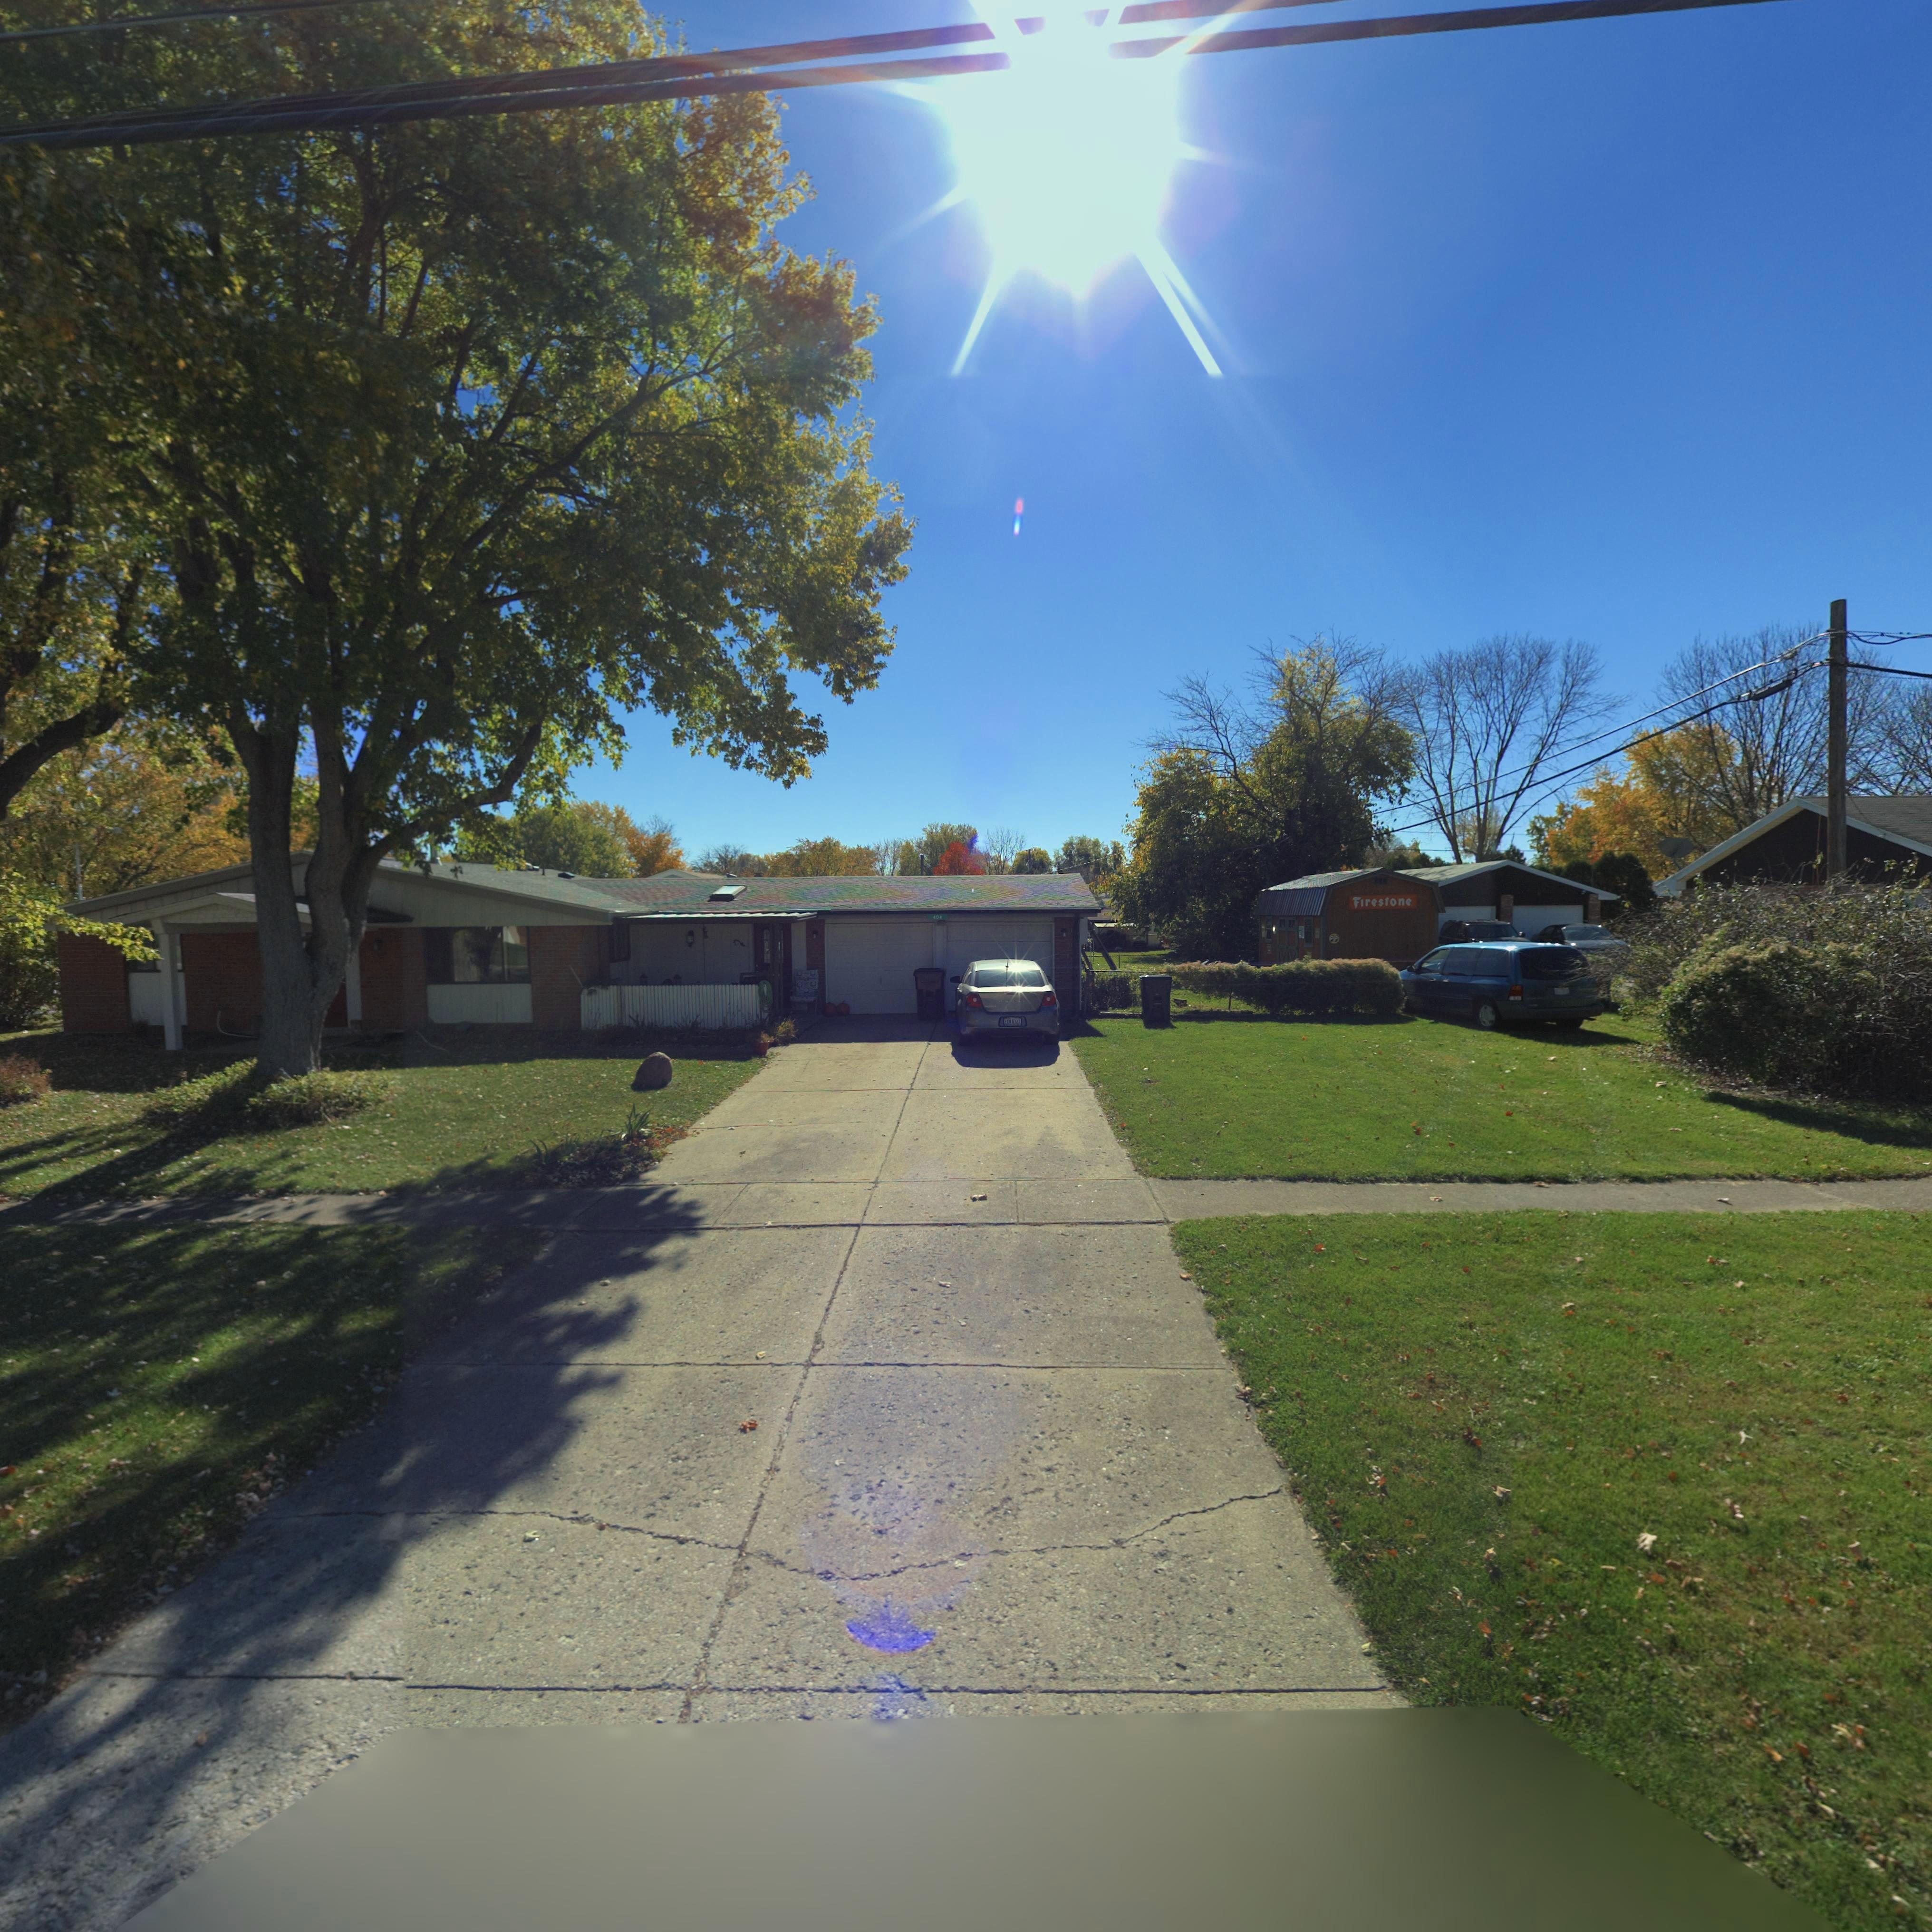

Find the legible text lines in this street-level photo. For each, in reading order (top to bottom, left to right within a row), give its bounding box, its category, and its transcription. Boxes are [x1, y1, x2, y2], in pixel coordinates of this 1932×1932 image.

[932, 915, 943, 920] StreetNumber: *0*